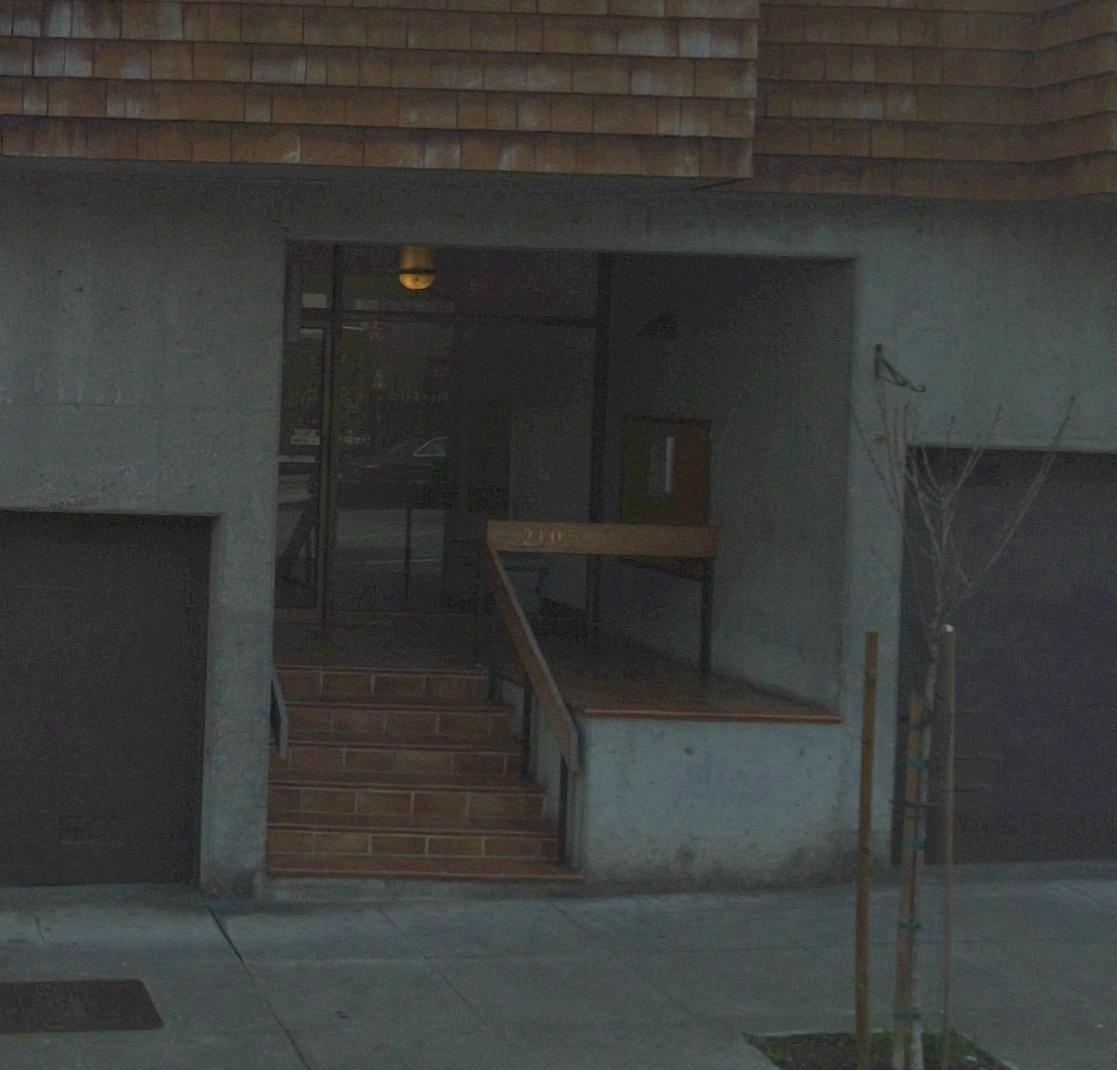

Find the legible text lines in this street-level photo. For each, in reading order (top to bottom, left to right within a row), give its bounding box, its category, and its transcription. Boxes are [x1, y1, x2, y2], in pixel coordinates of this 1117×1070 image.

[519, 526, 582, 549] StreetNumber: 2105